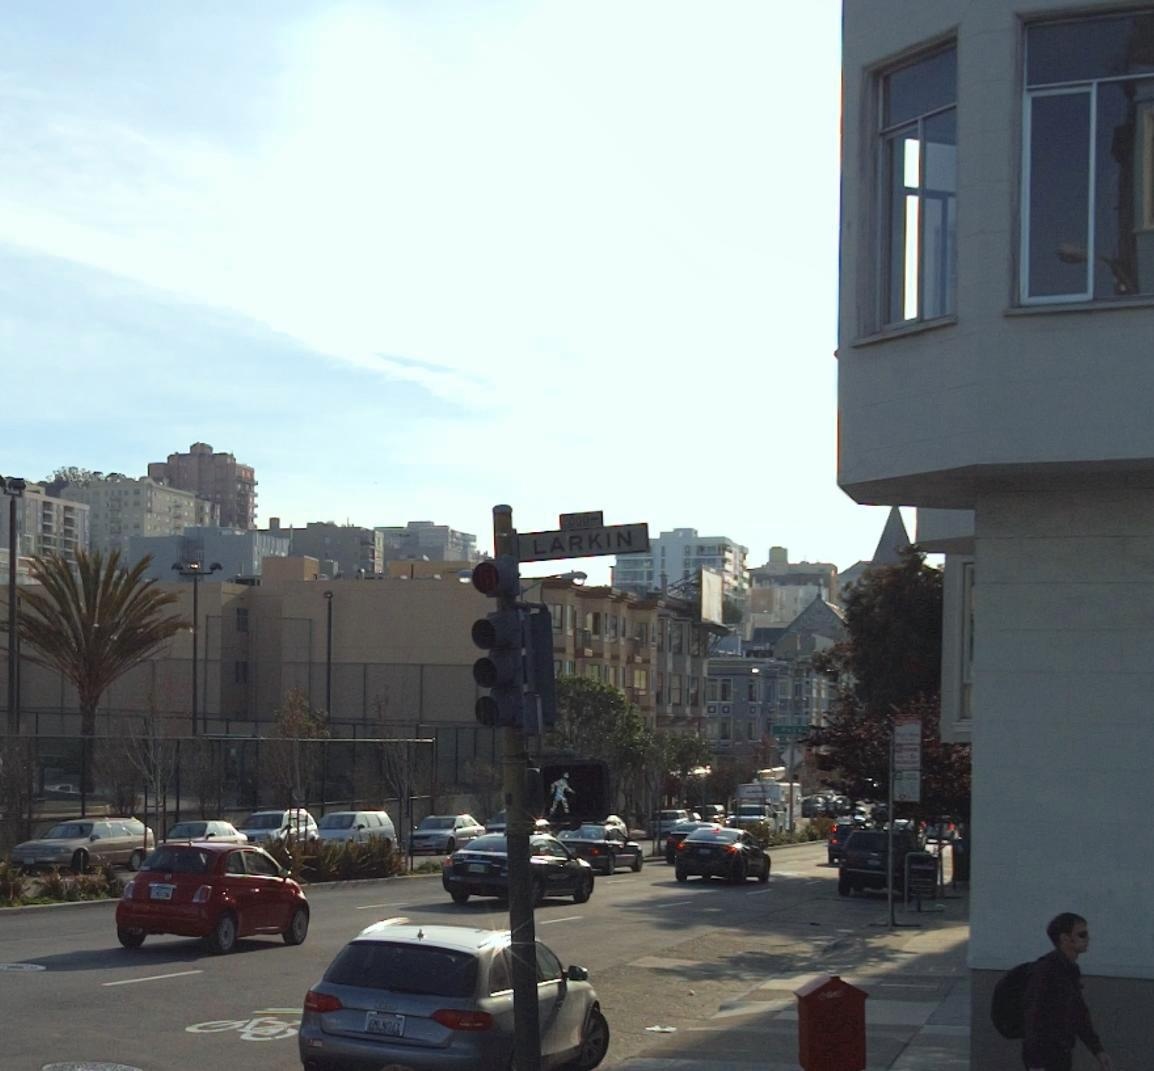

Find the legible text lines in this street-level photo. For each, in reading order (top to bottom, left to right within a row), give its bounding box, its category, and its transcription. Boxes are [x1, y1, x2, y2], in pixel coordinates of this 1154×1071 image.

[559, 512, 603, 530] StreetNumberRange: 2000->
[530, 527, 635, 558] StreetName: LARKIN